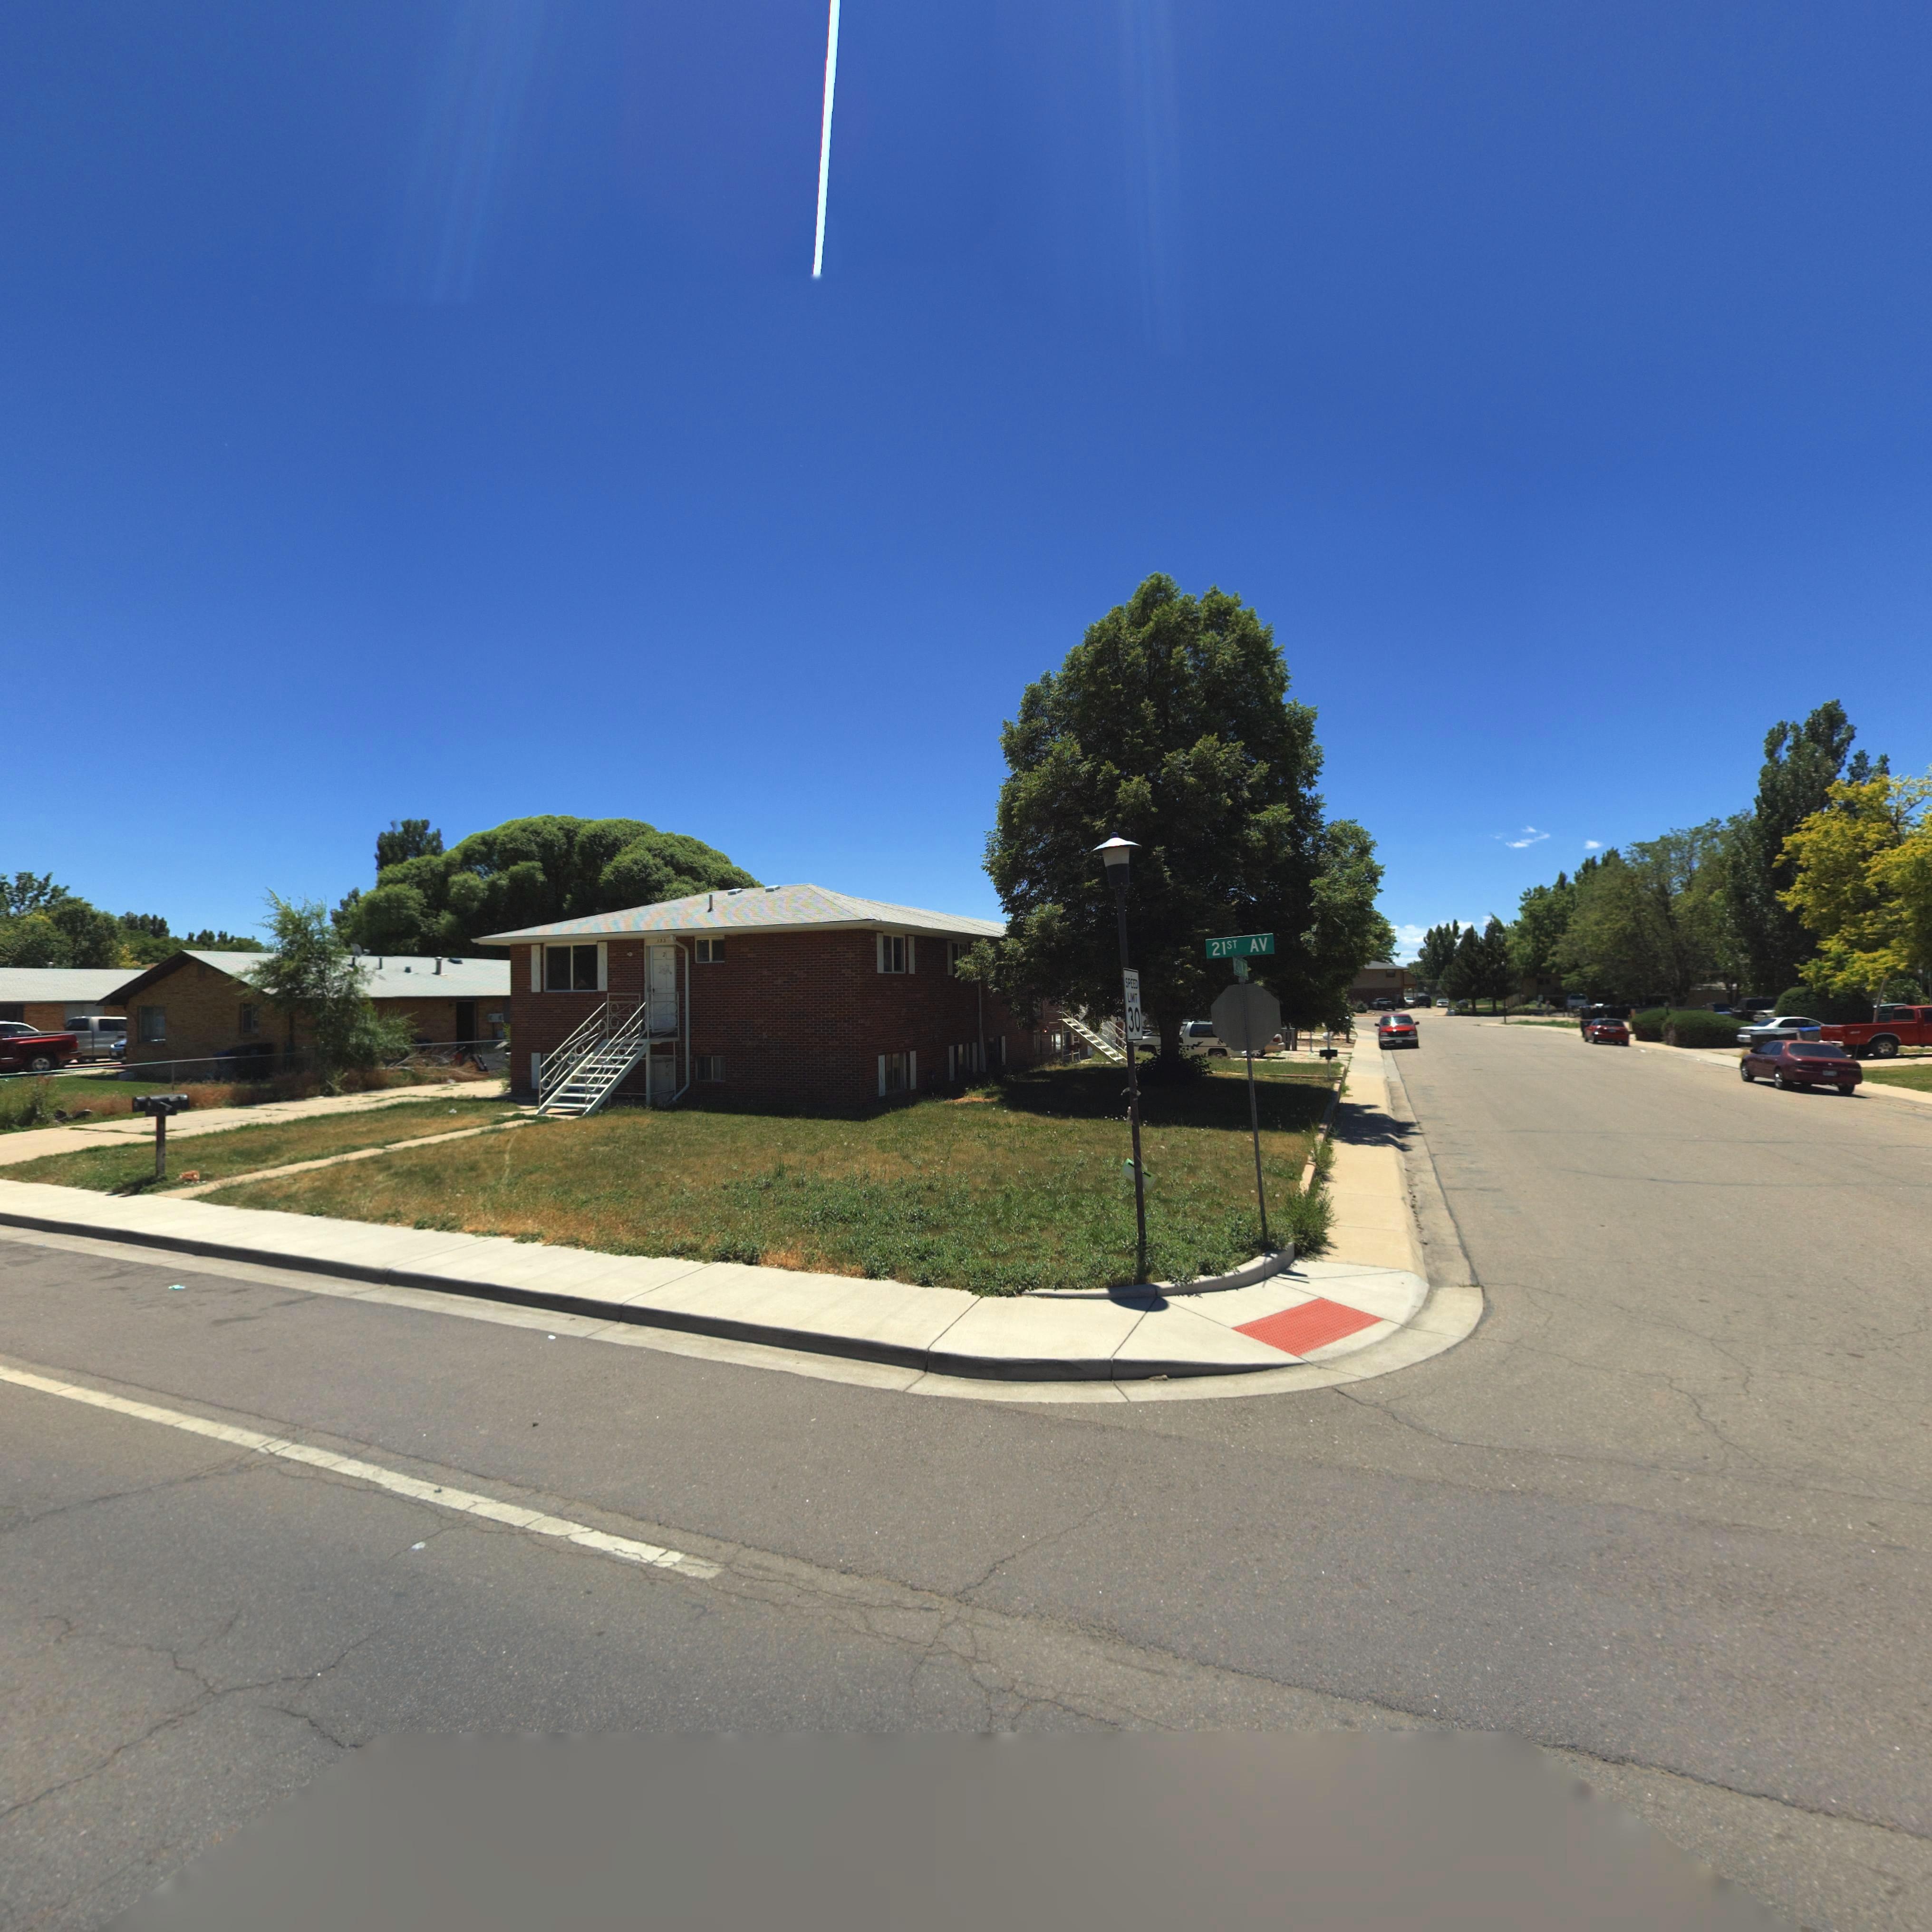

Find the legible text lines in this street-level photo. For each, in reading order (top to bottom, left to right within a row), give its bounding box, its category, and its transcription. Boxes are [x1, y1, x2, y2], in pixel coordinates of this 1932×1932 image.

[657, 938, 666, 943] StreetNumber: 133
[662, 952, 666, 956] StreetNumber: 2
[1211, 936, 1268, 956] StreetName: 21ST AV
[1232, 956, 1248, 978] StreetName: ME**O* D*